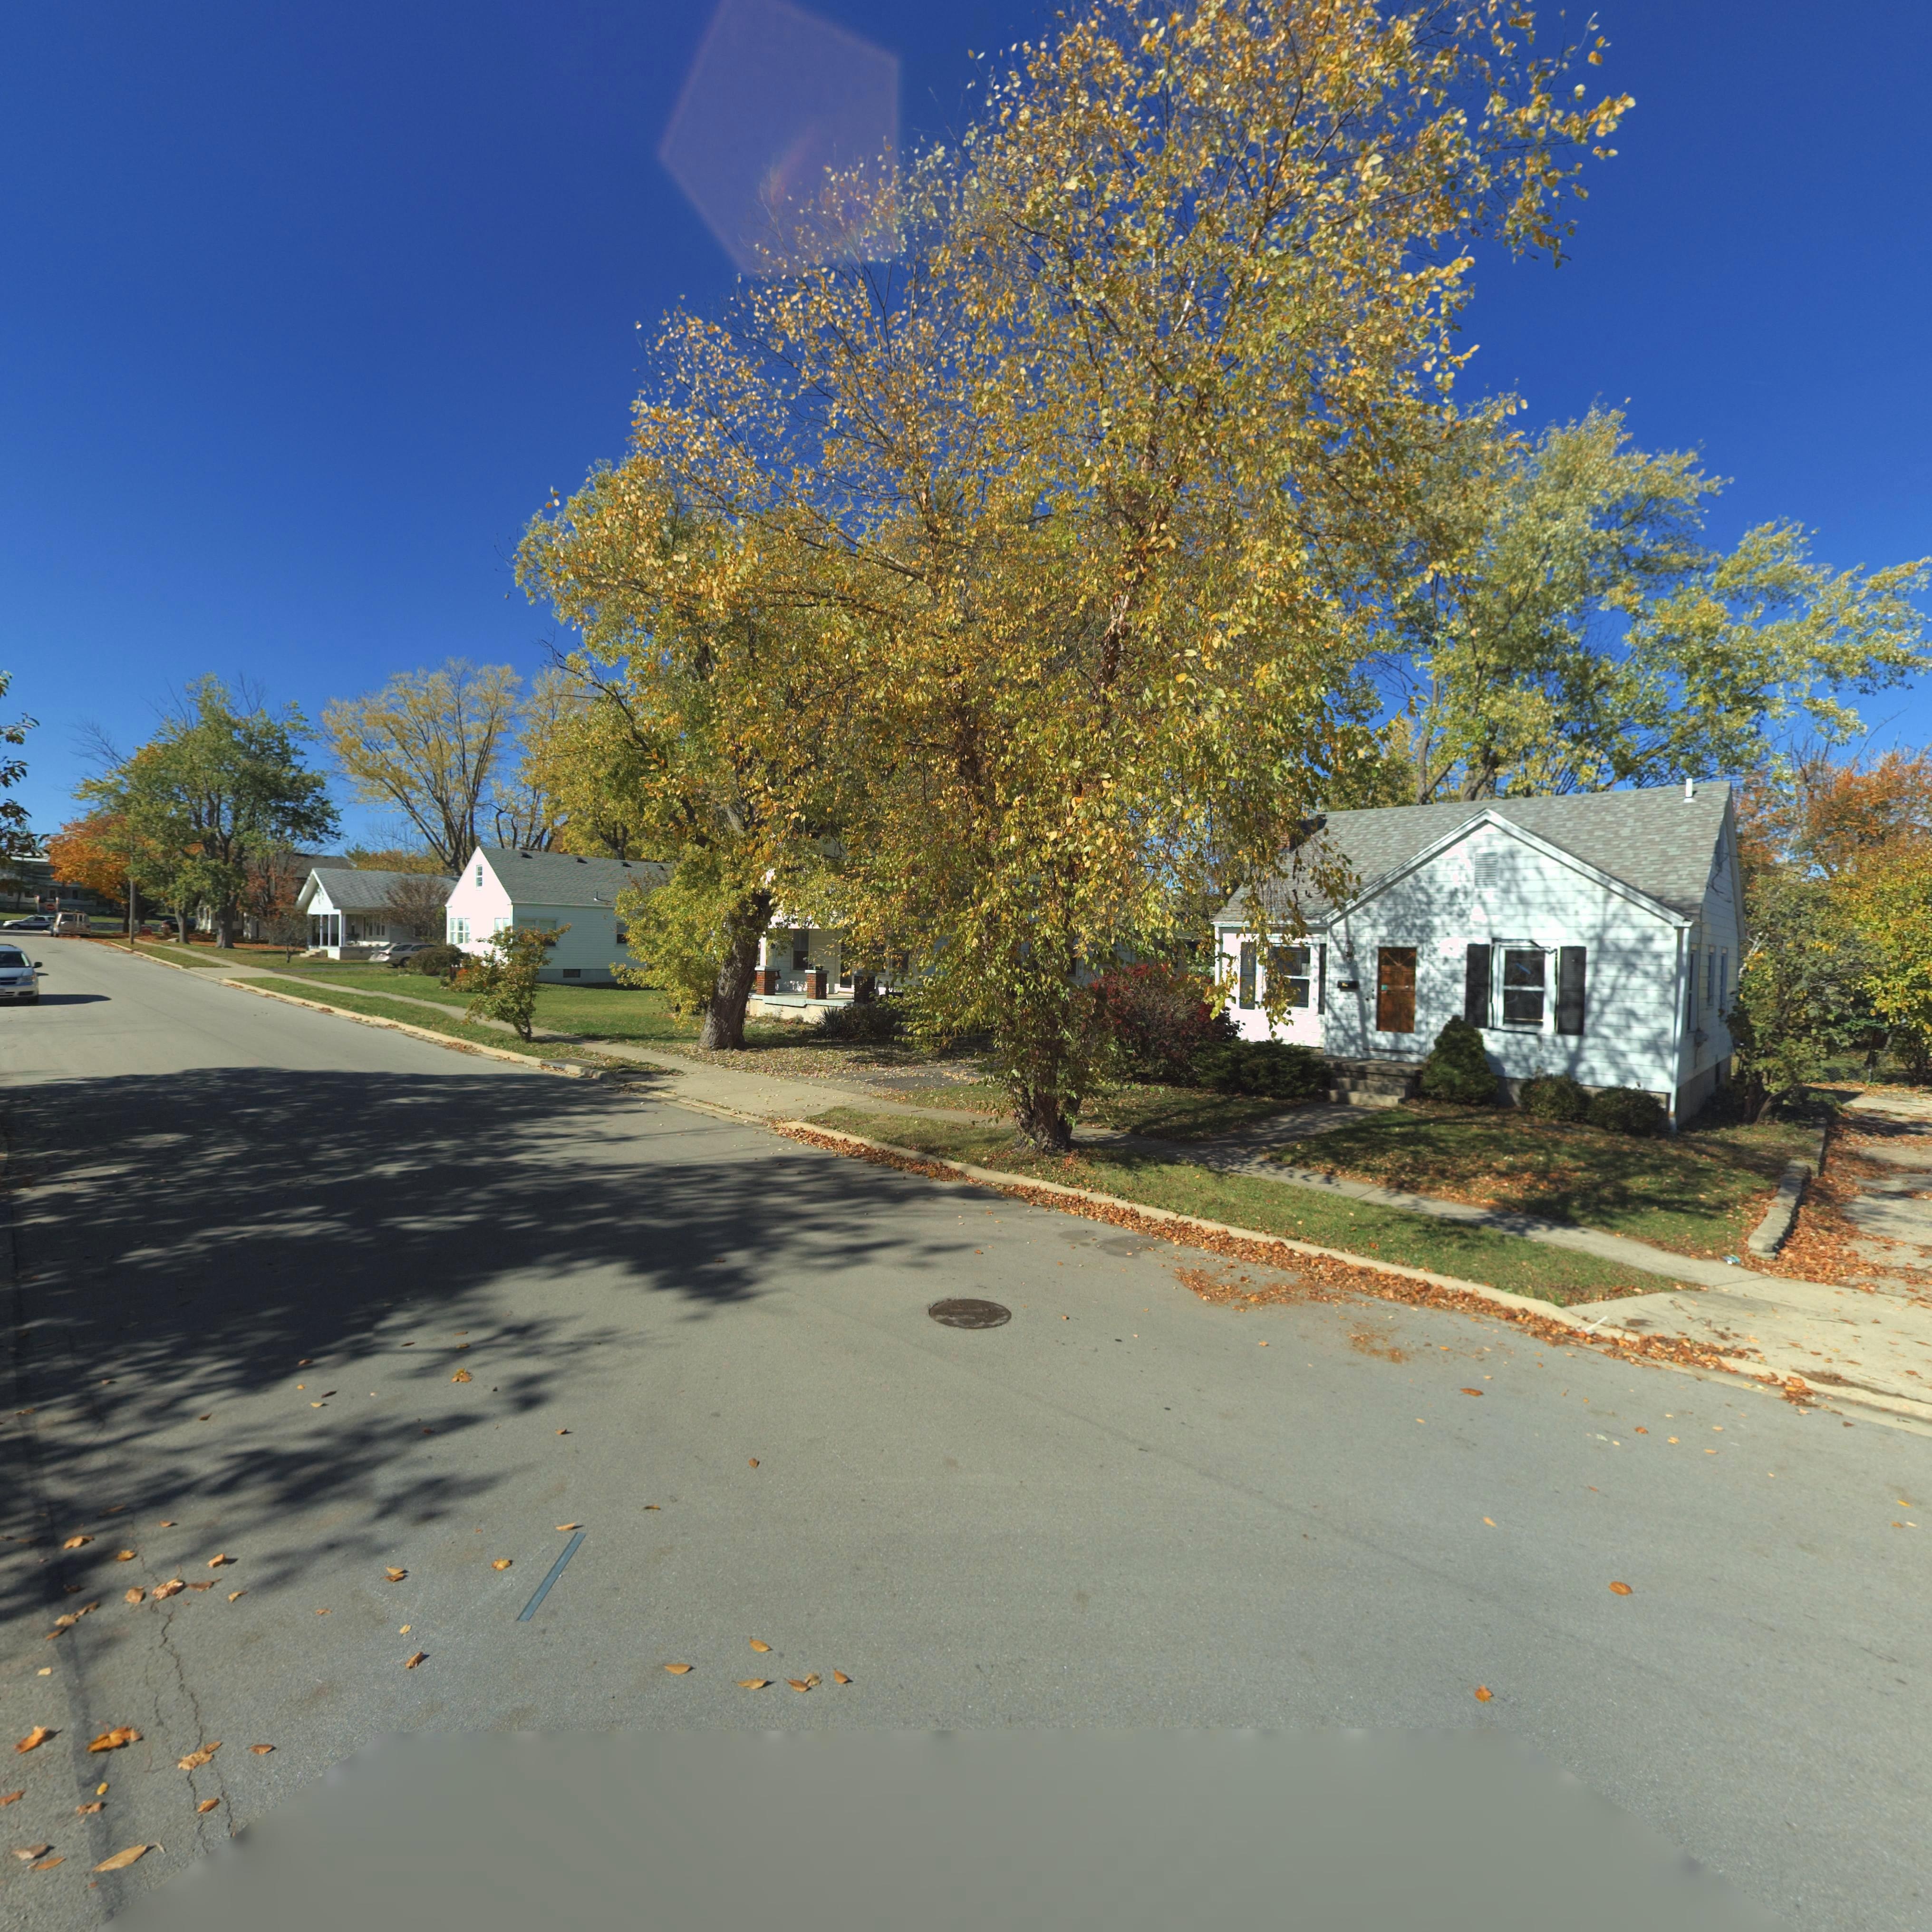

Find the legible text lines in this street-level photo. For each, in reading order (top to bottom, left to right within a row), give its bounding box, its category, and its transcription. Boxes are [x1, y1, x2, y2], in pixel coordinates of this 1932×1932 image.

[1341, 955, 1359, 969] StreetNumber: *03